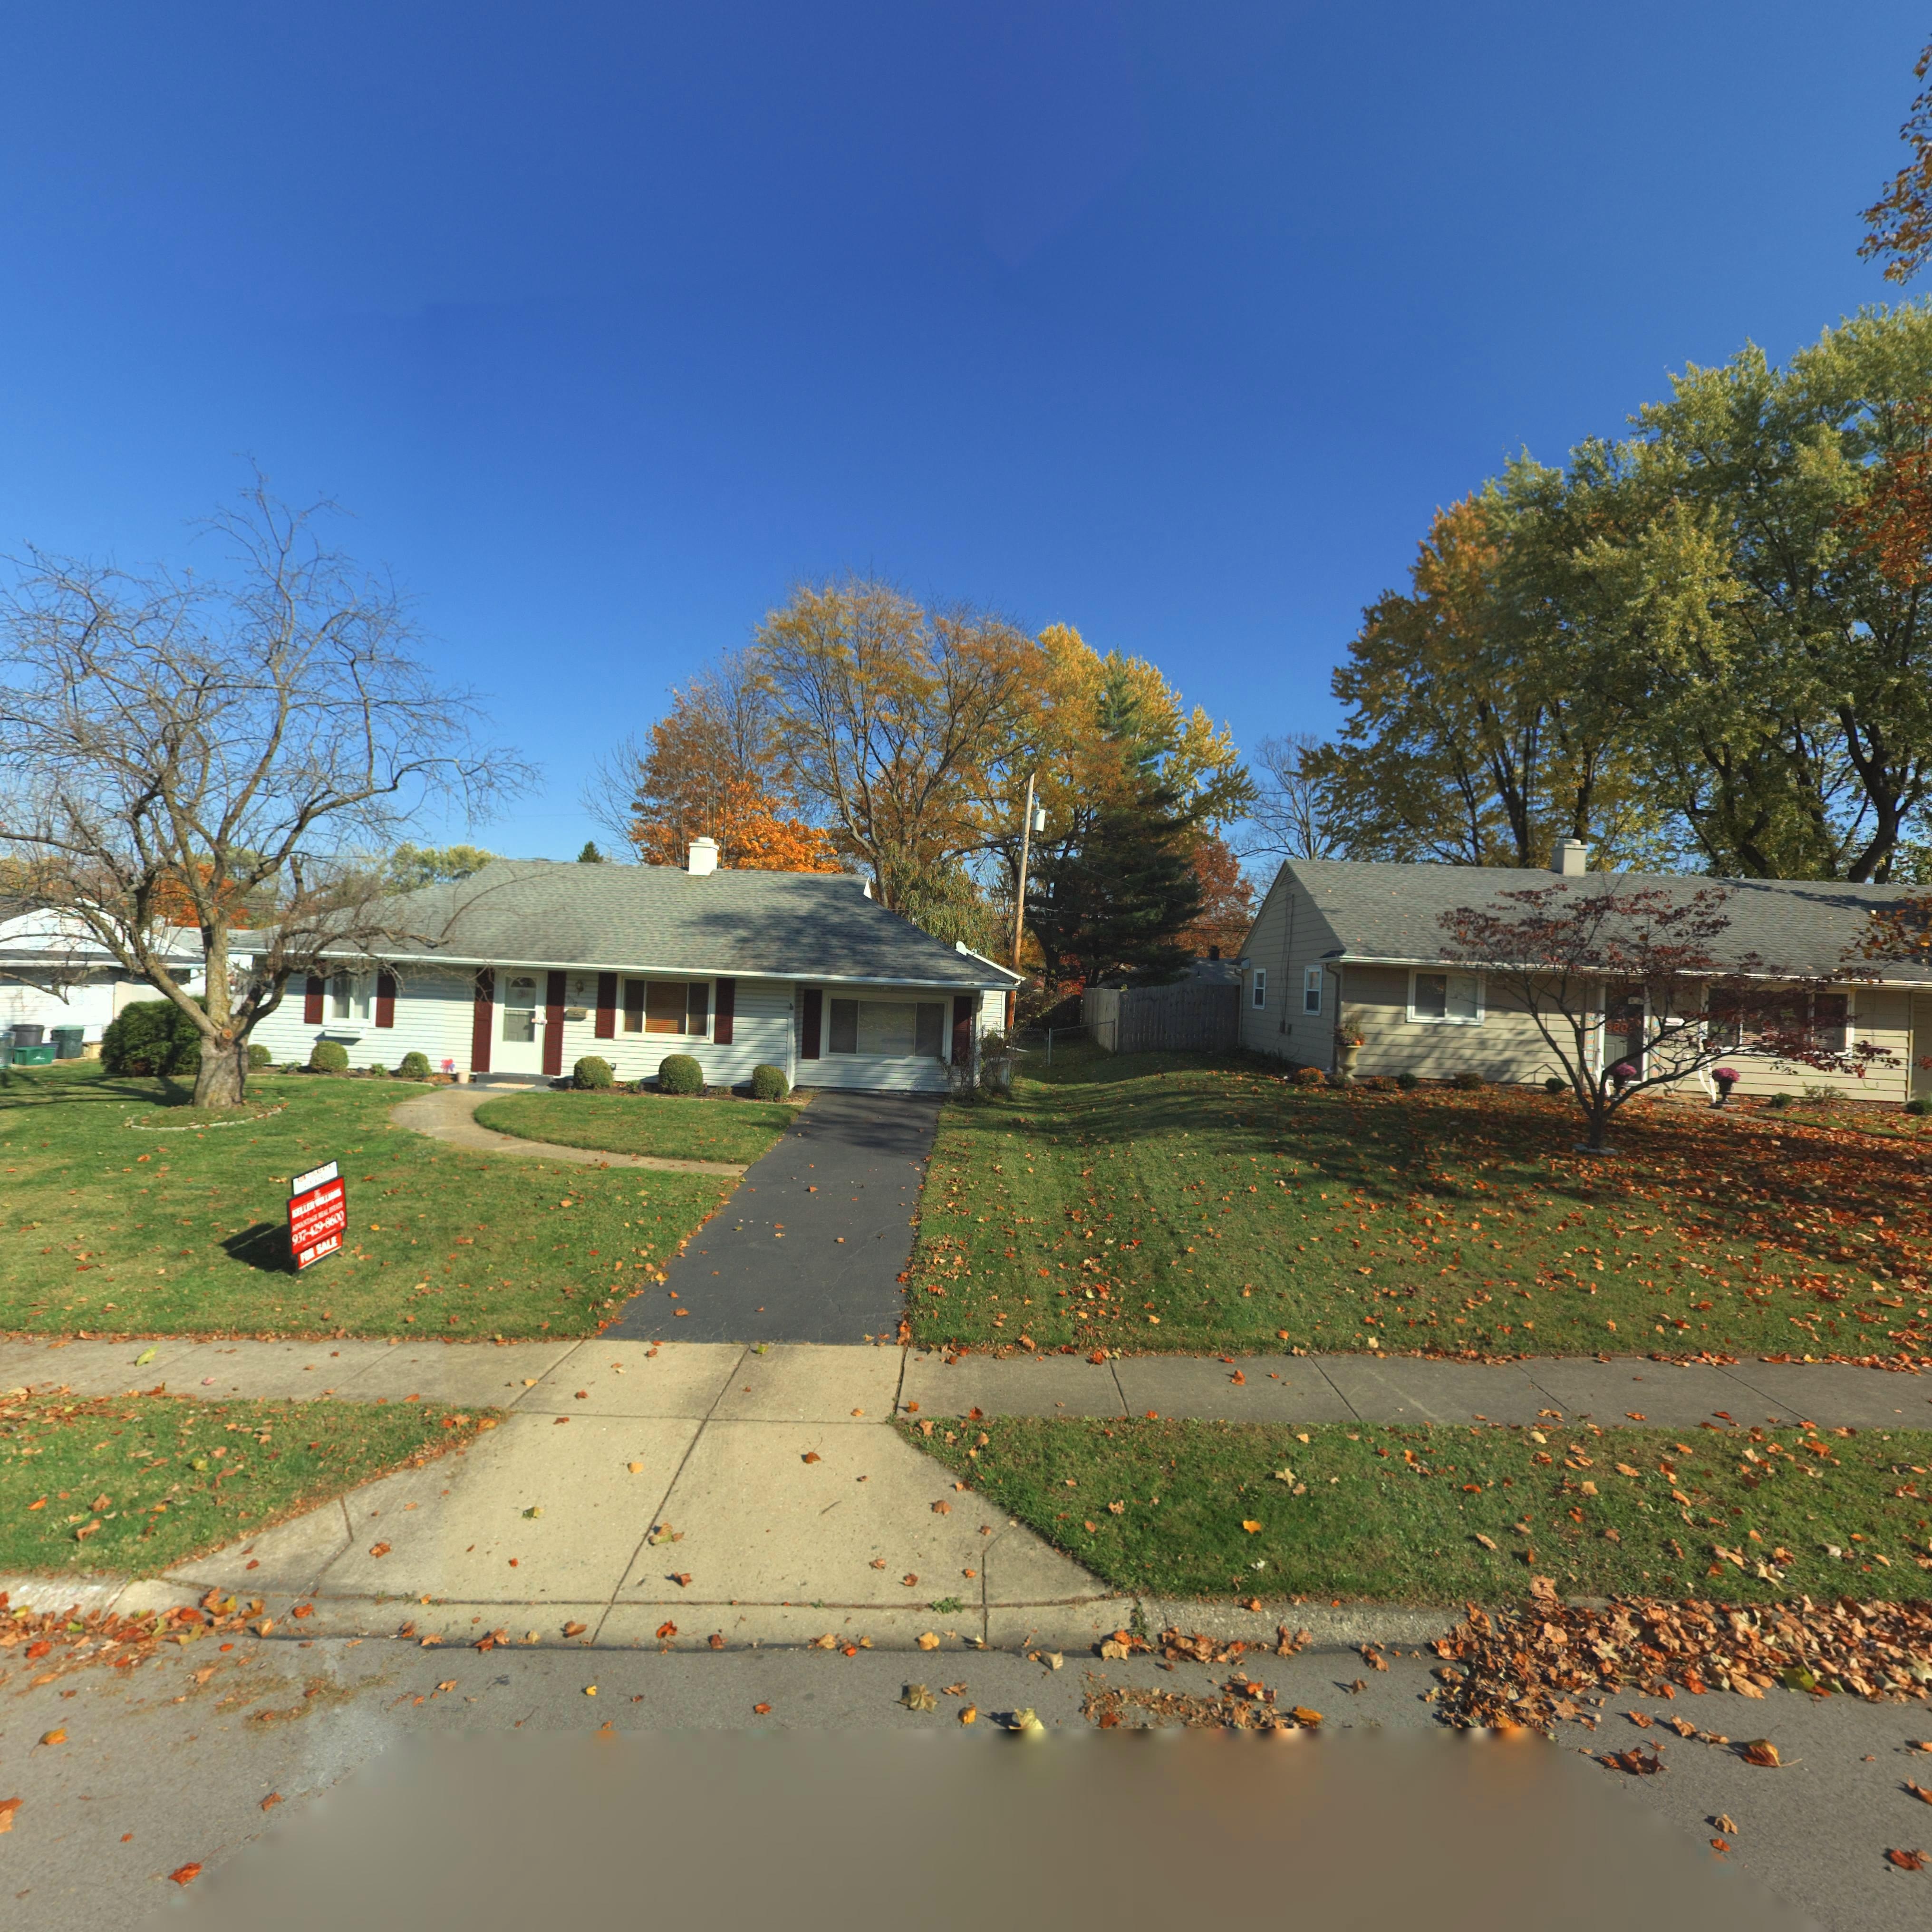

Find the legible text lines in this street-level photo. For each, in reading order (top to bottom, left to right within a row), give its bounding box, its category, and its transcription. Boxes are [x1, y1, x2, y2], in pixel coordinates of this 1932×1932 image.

[565, 991, 579, 1009] StreetNumber: 3732
[1605, 1021, 1642, 1032] StreetNumber: 3806
[290, 1187, 342, 1220] None: KELLER WILLIAMS
[292, 1207, 345, 1248] None: 937-429-8600
[300, 1236, 339, 1265] None: FOR SALE